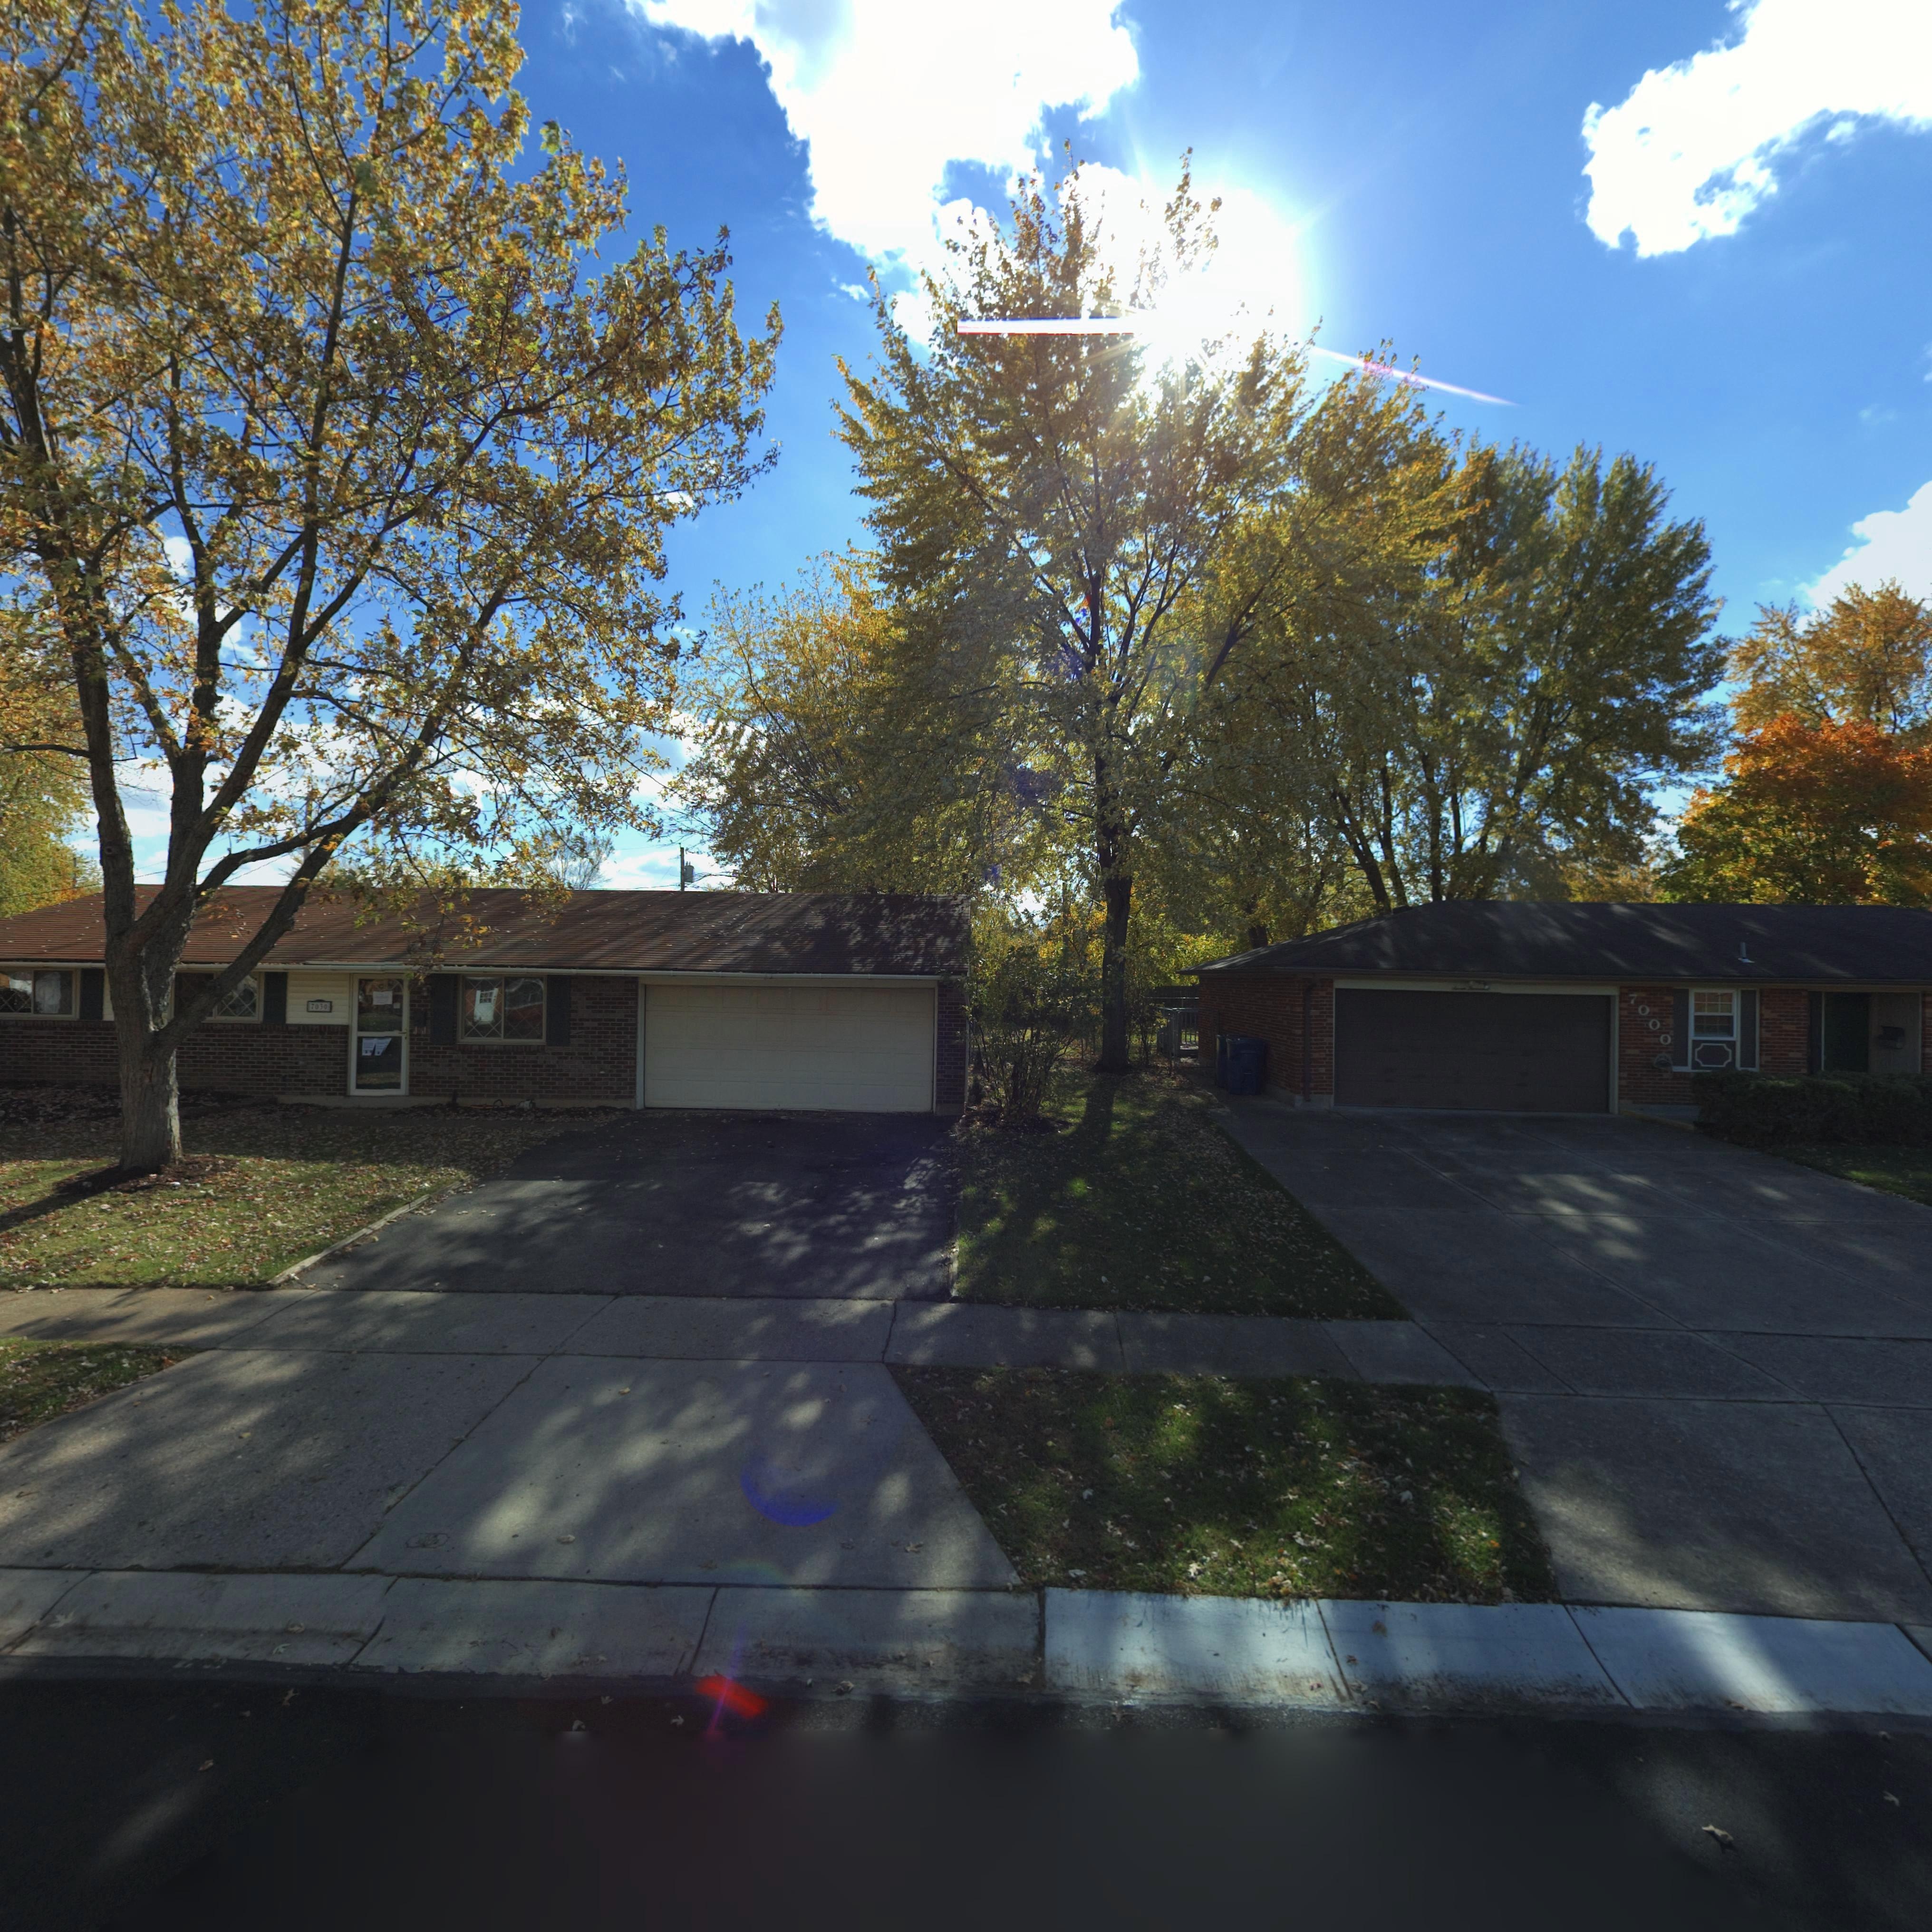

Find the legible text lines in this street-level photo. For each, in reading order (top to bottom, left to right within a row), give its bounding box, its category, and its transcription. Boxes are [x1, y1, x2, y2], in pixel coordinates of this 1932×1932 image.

[309, 1003, 329, 1011] StreetNumber: 7030
[1628, 993, 1673, 1047] StreetNumber: 7000